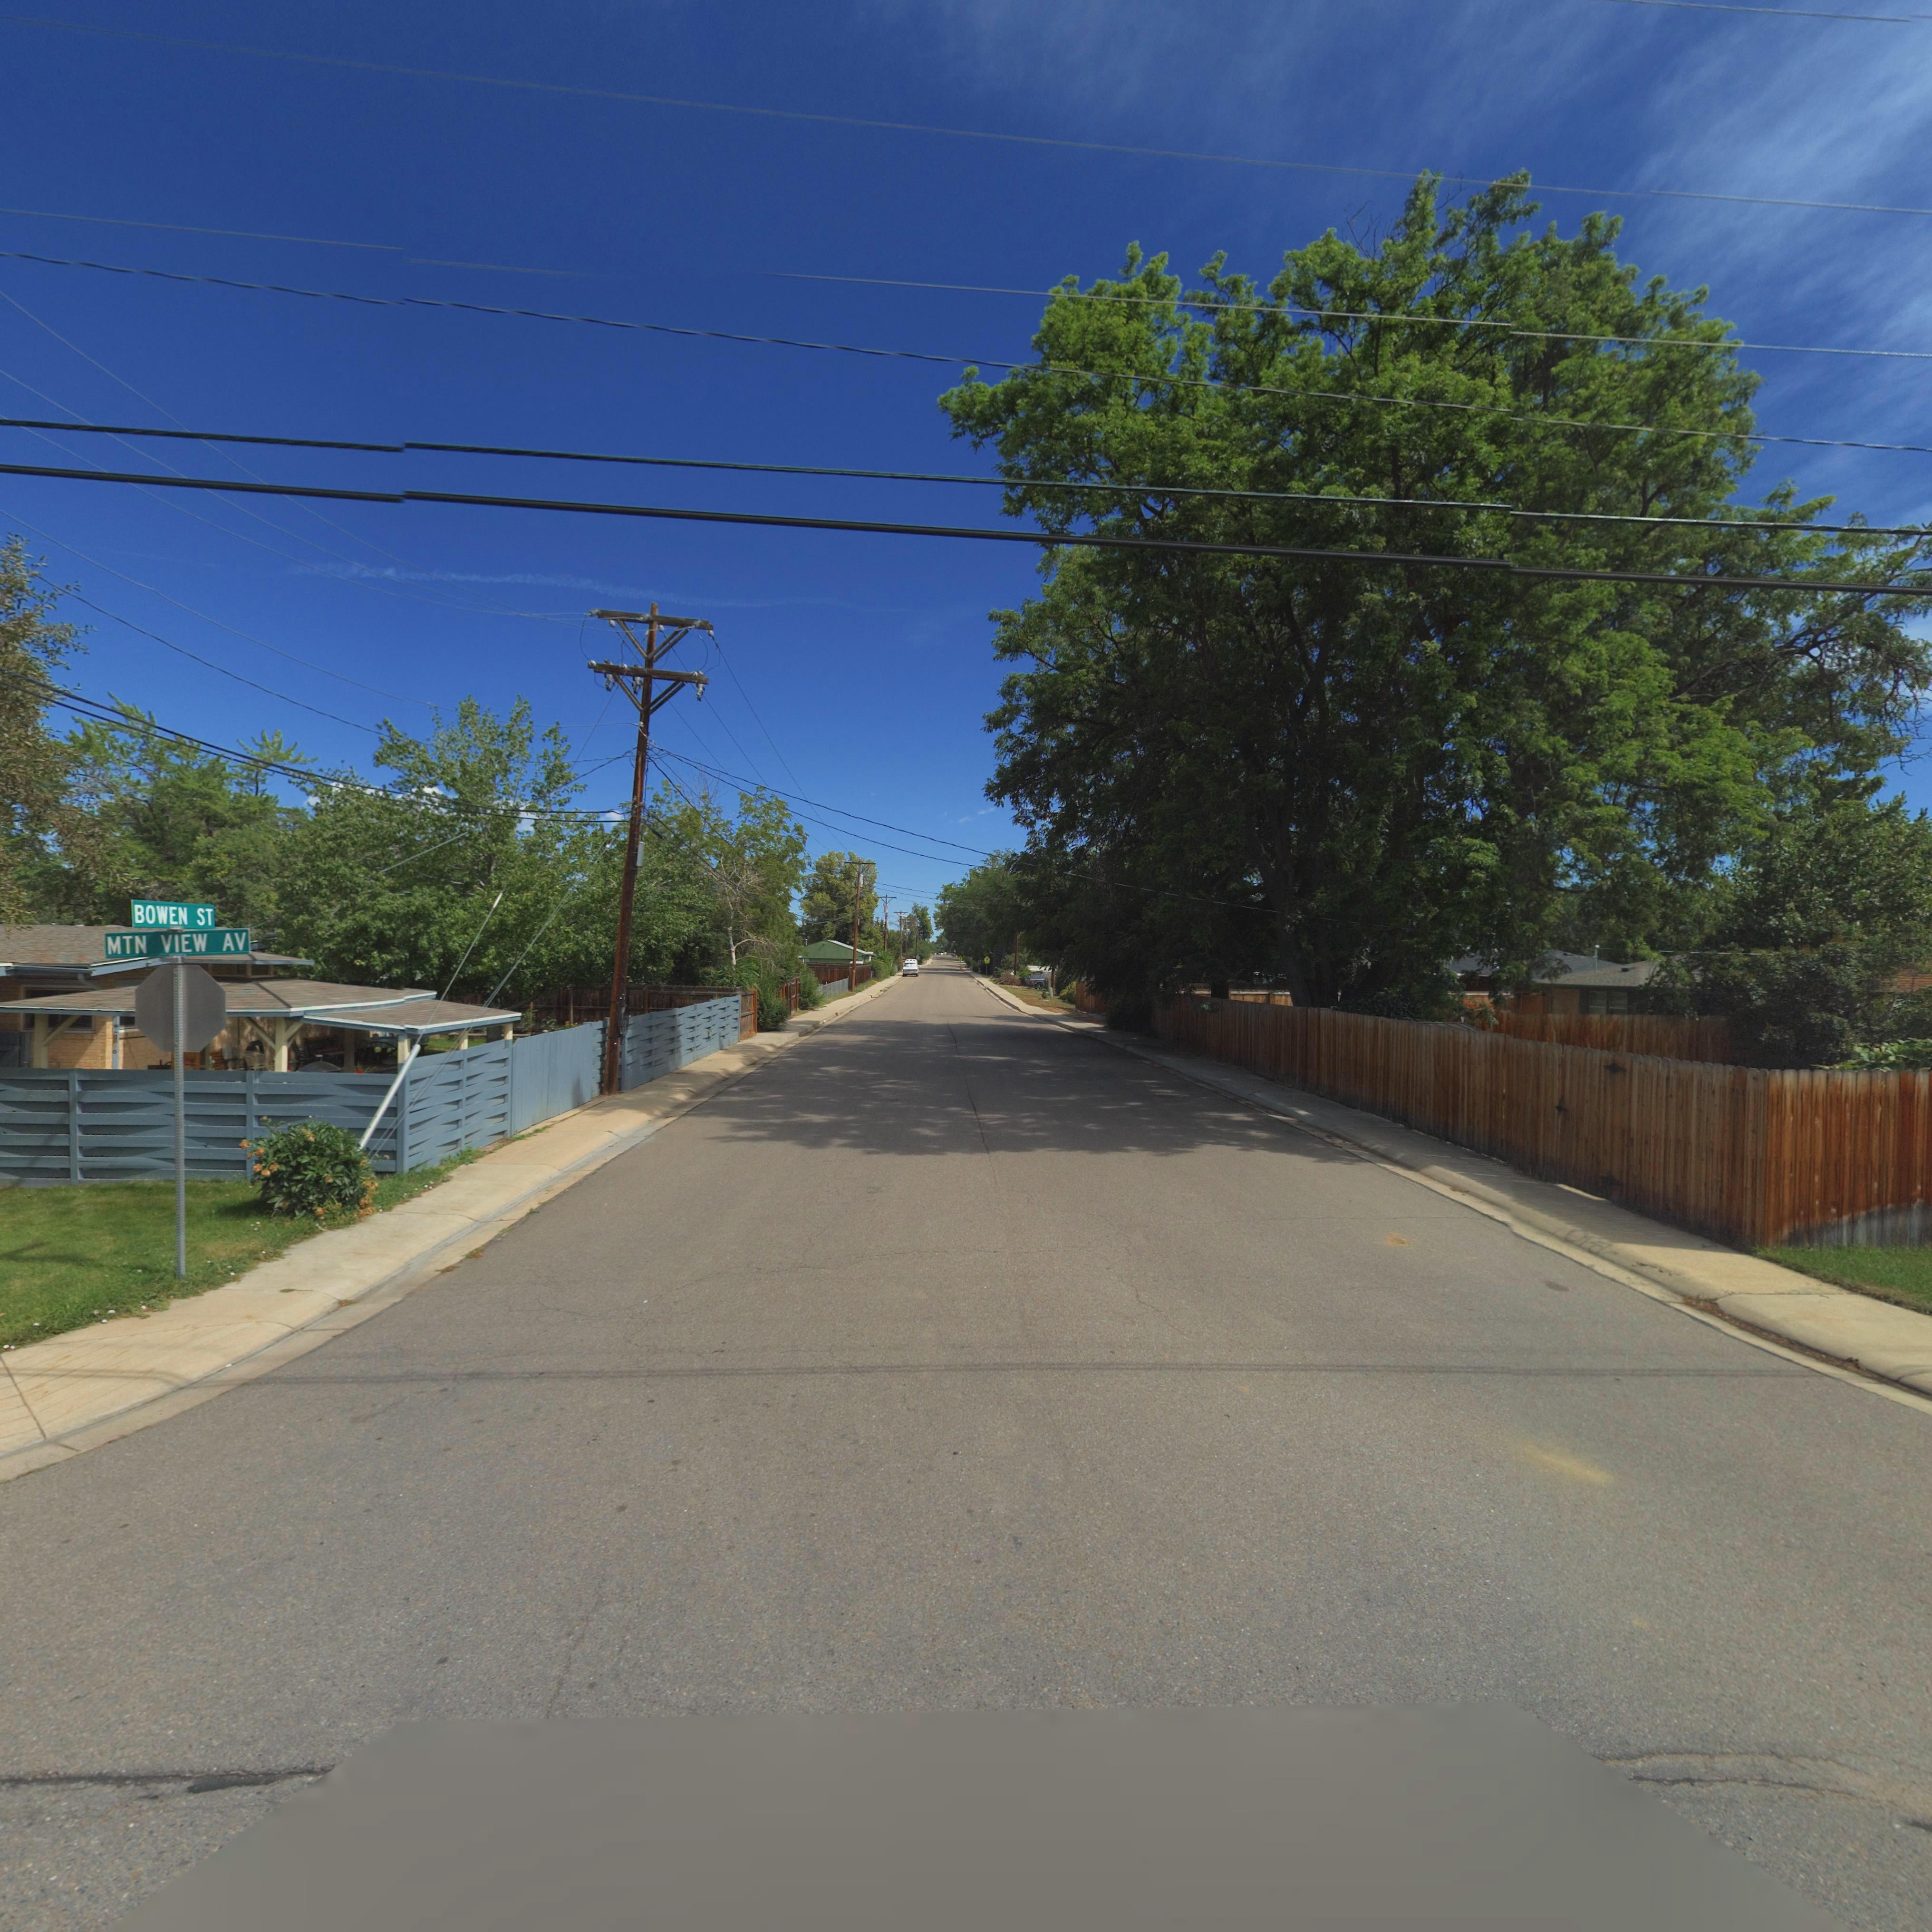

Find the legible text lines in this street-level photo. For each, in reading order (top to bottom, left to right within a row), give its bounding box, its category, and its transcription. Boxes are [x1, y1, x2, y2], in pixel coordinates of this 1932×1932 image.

[133, 903, 213, 927] StreetName: BOWEN ST
[106, 931, 247, 956] StreetName: MTN VIEW AV